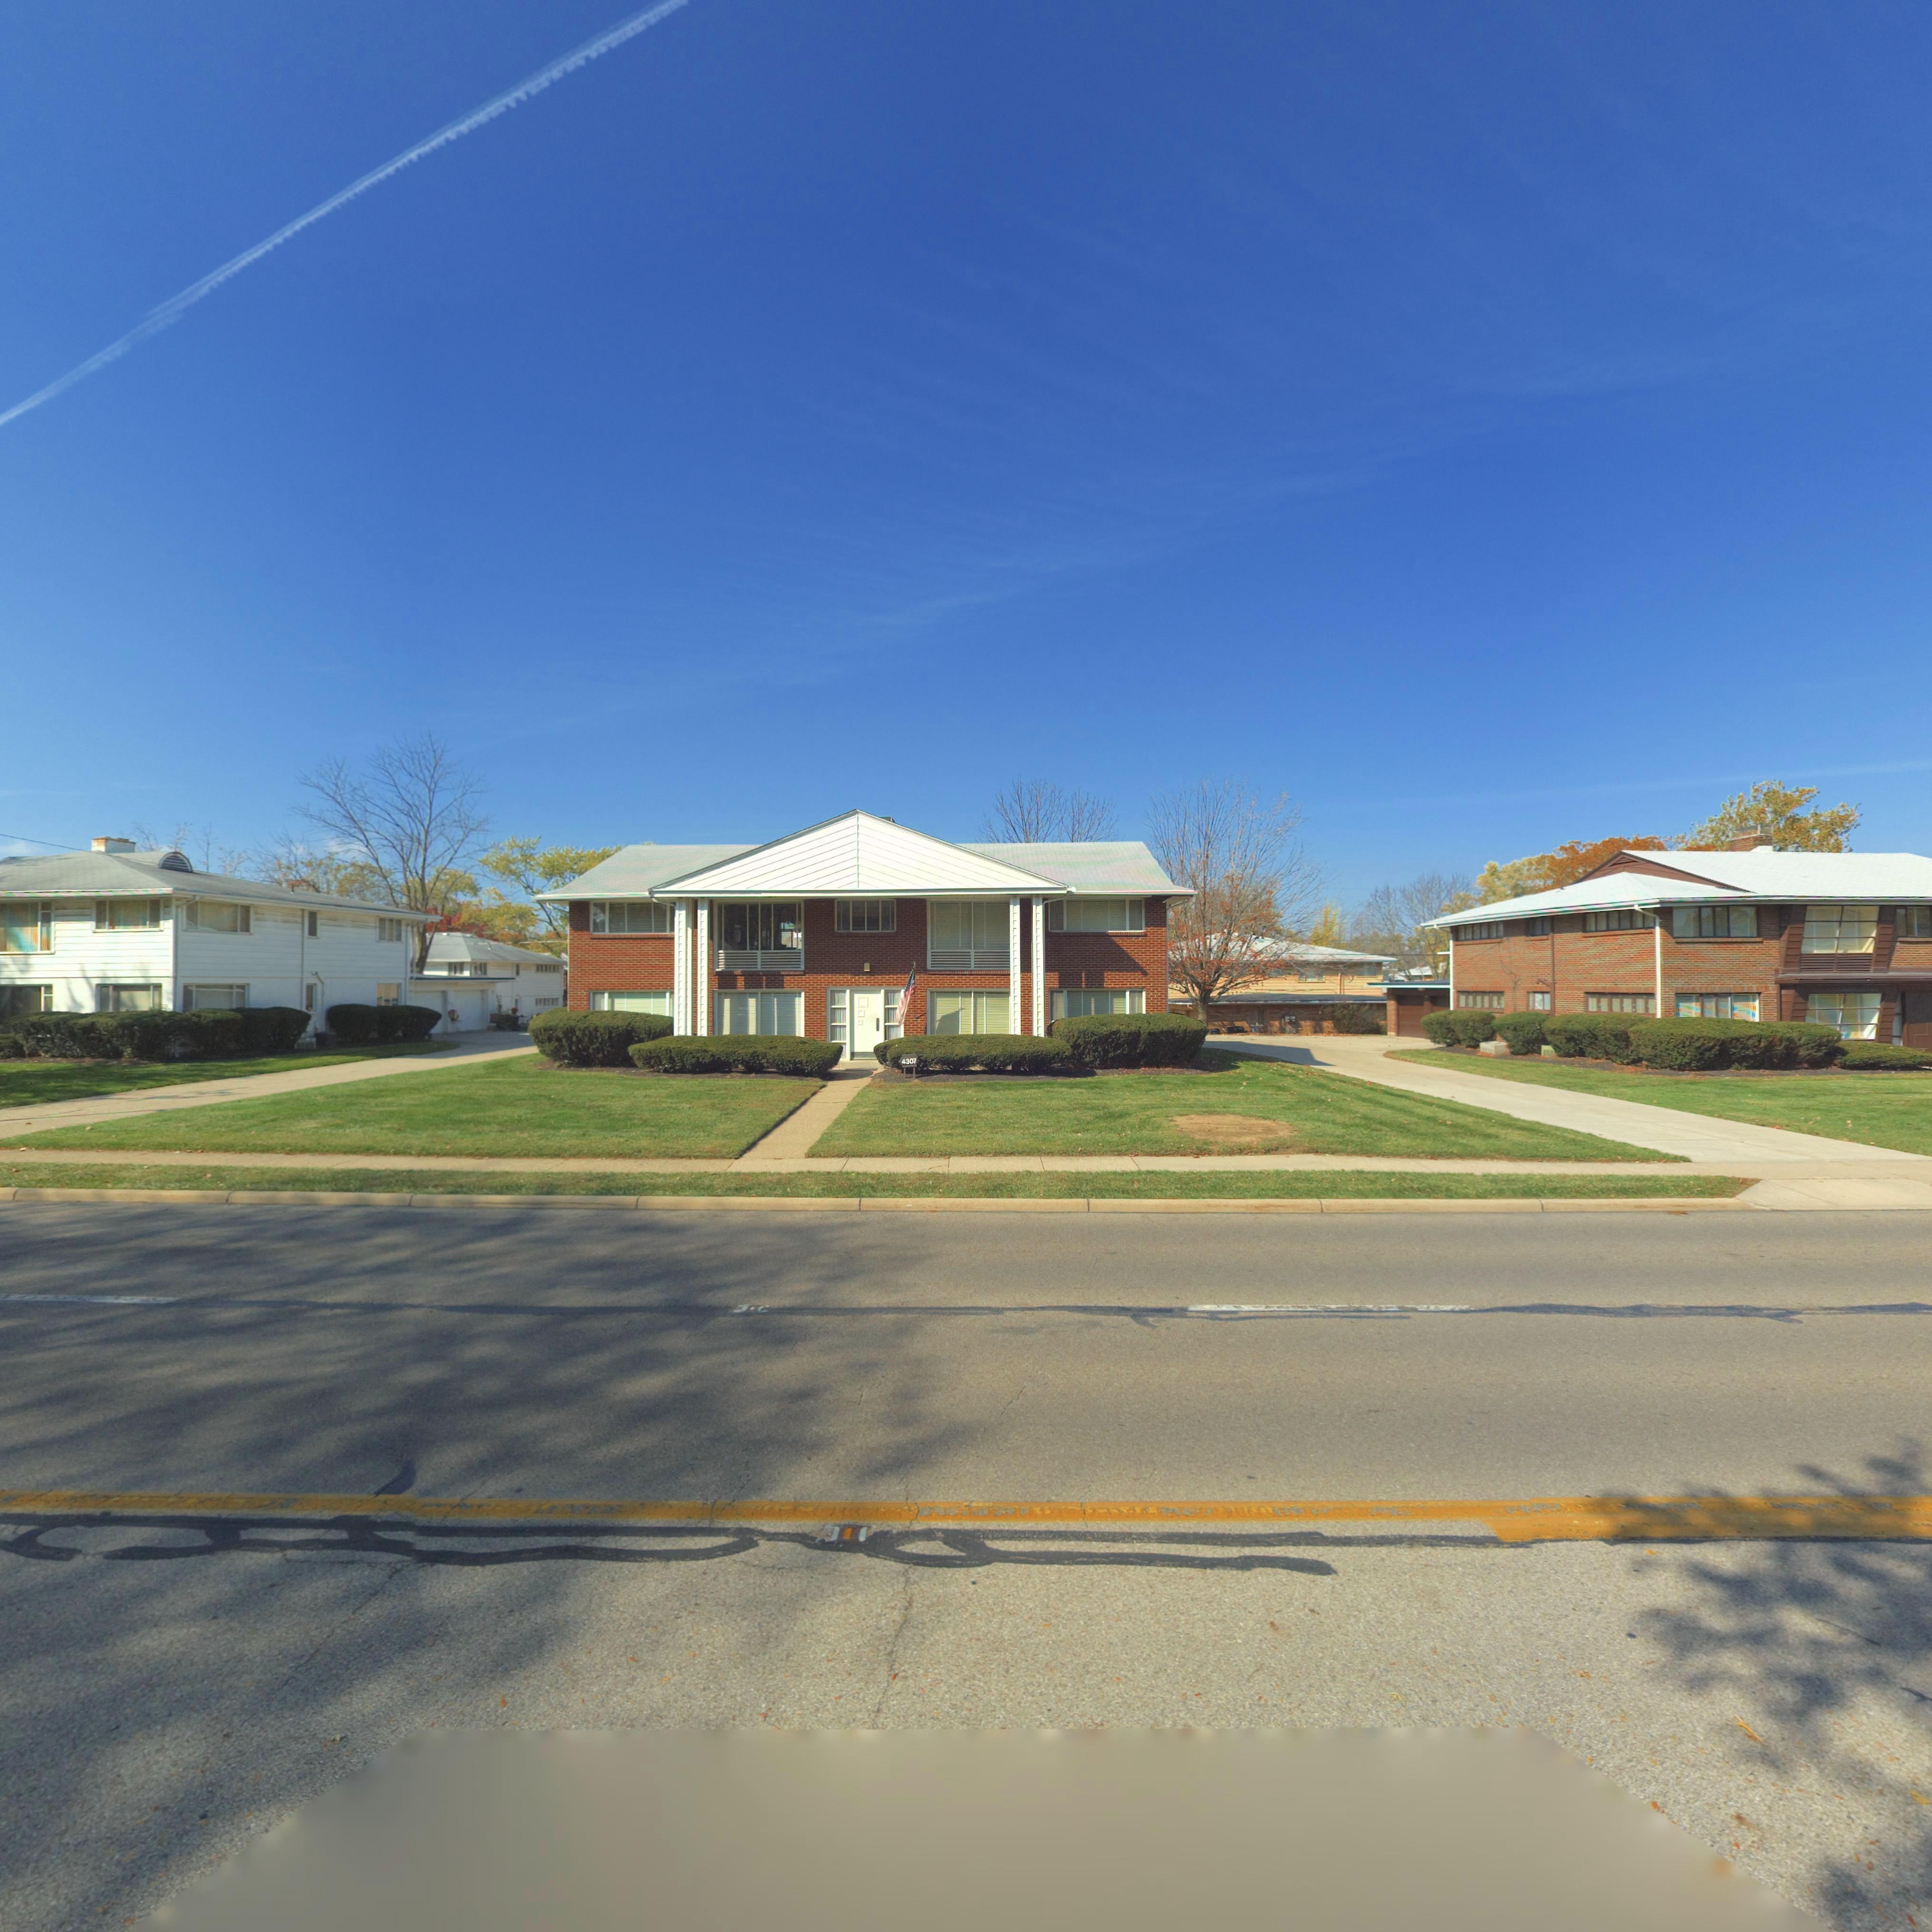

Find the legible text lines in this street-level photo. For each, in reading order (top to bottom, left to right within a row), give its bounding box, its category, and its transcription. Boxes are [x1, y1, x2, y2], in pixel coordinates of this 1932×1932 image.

[900, 1057, 918, 1065] StreetNumber: 4307